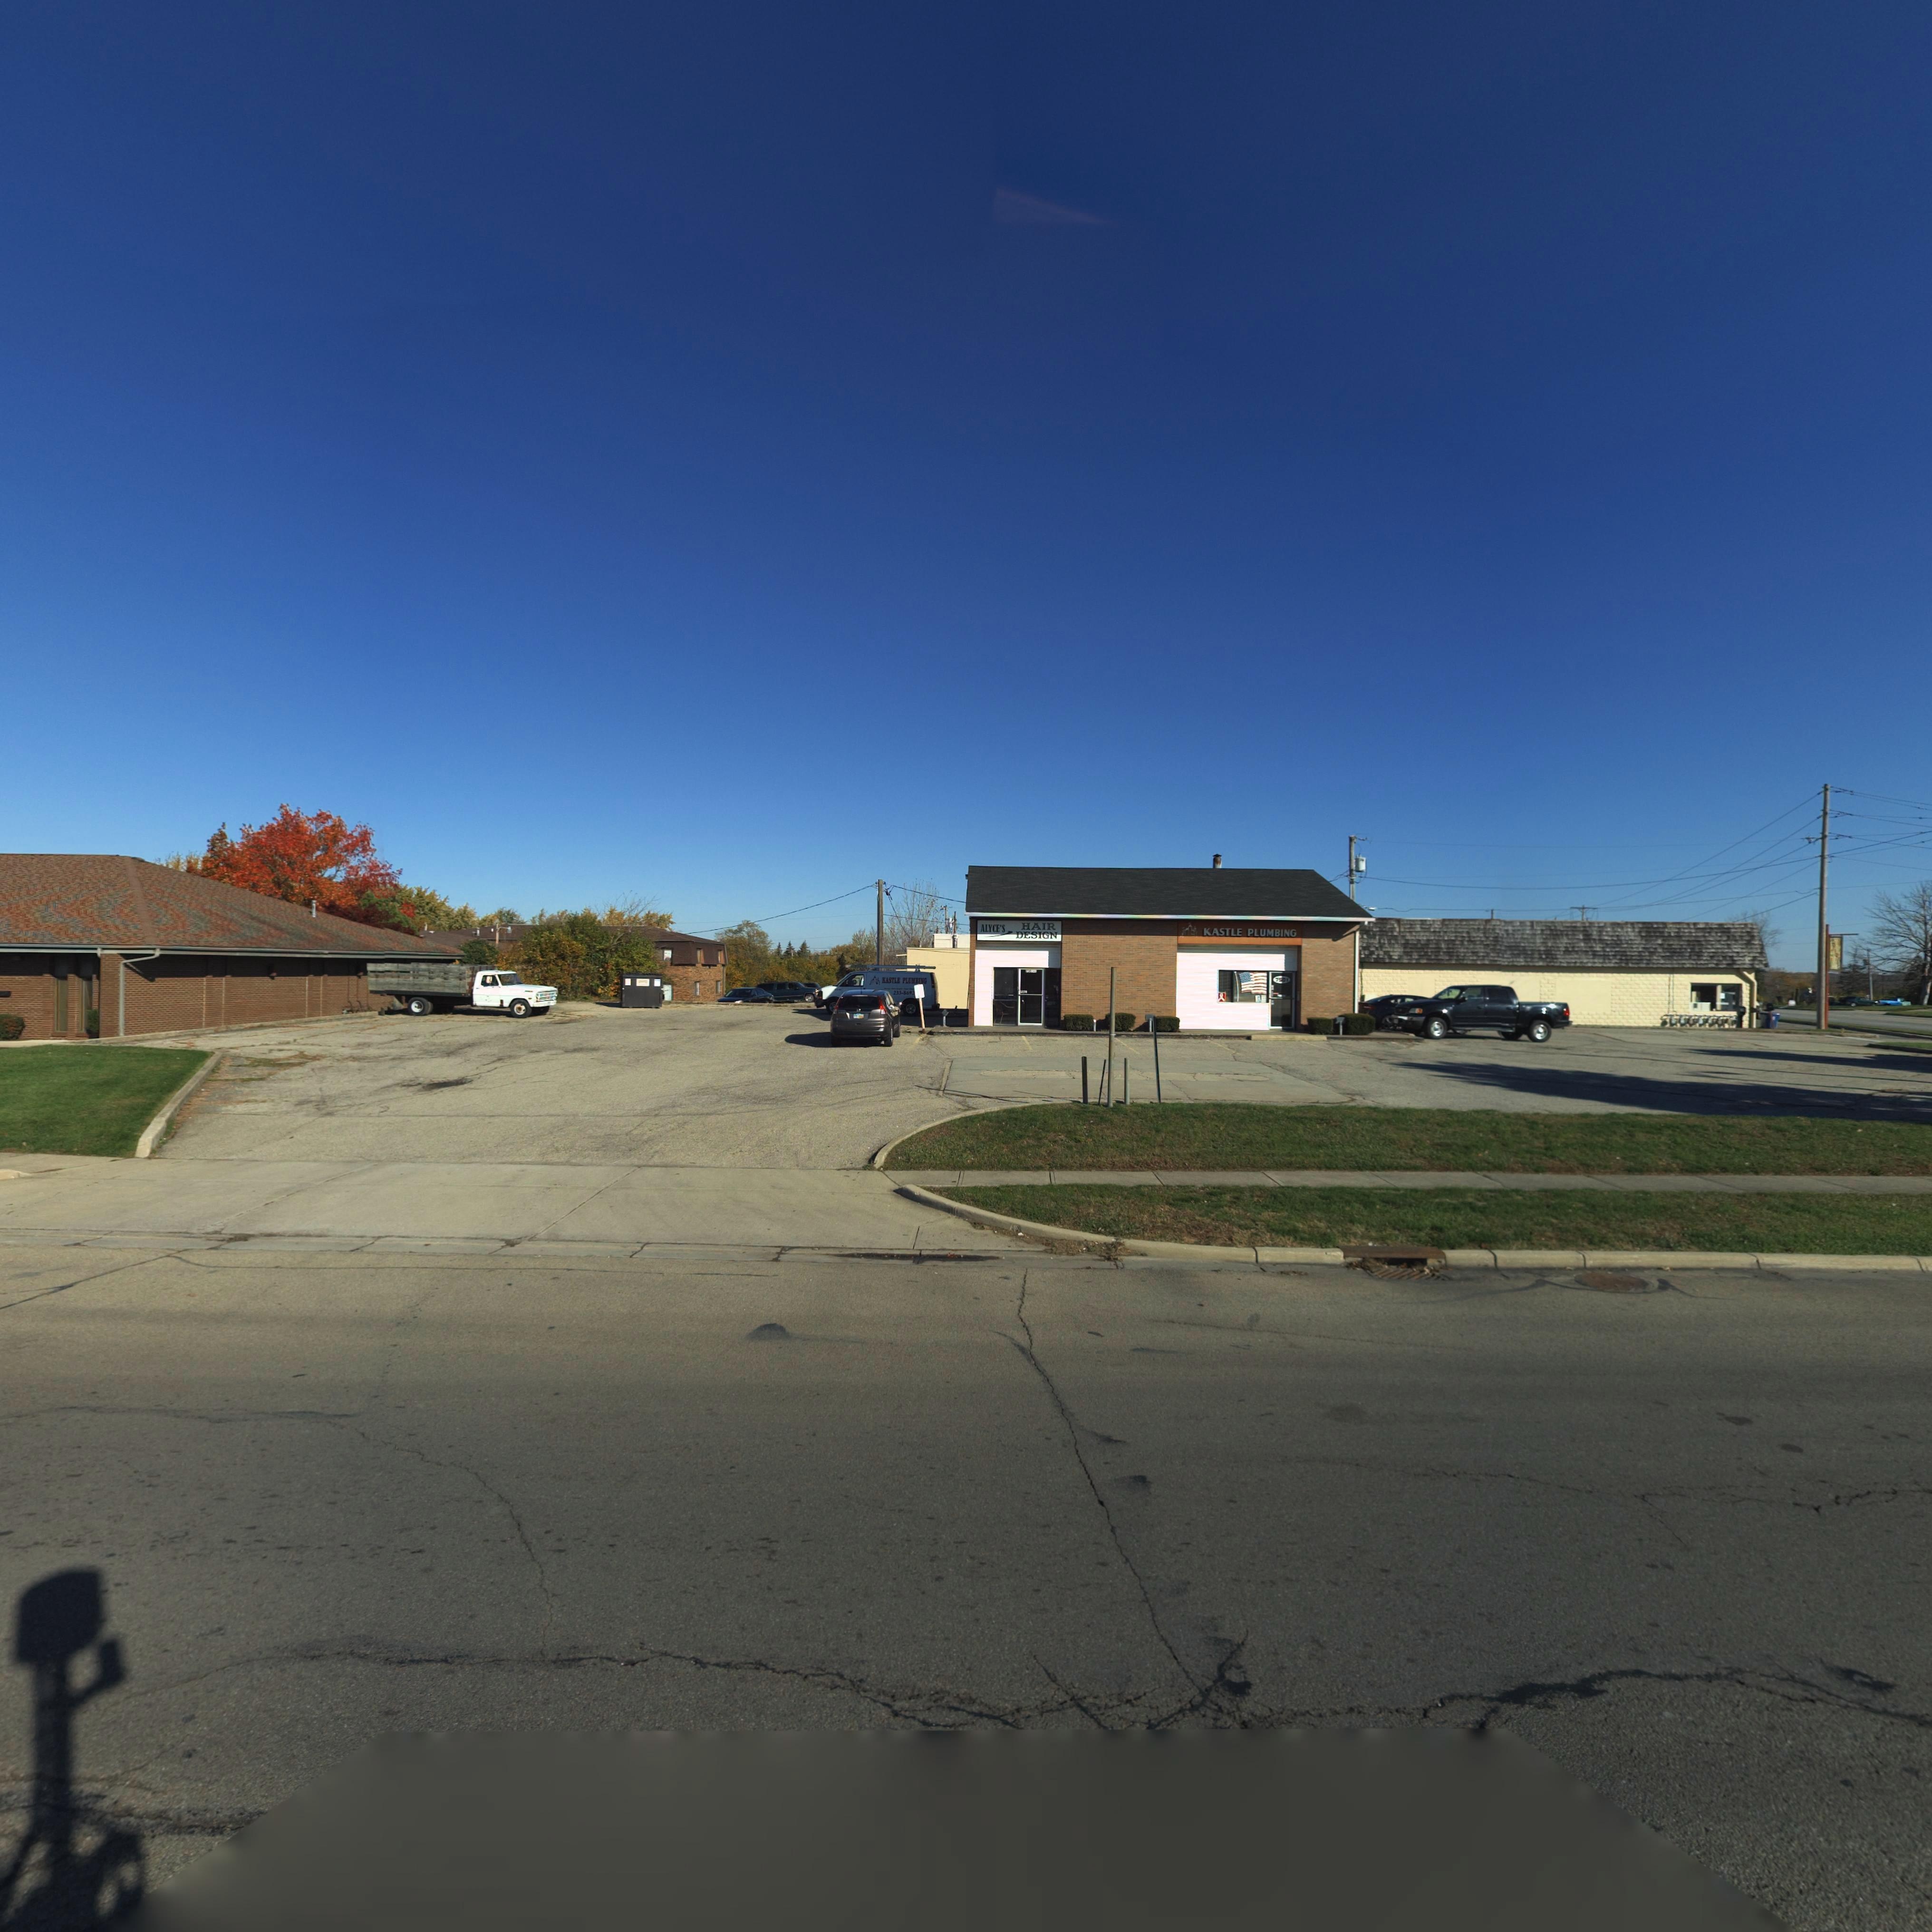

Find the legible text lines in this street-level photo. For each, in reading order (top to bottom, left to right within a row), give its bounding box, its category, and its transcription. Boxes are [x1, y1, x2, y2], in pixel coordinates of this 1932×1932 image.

[980, 923, 1006, 934] BusinessName: ALYCE'S
[1015, 930, 1059, 940] BusinessName: DESIGN
[1021, 922, 1057, 931] BusinessName: HAIR
[1202, 927, 1298, 938] BusinessName: KASTLE PLUMBING
[881, 976, 927, 985] BusinessName: KASTLE PLUMBING
[1275, 977, 1289, 983] StreetNumber: 7*01